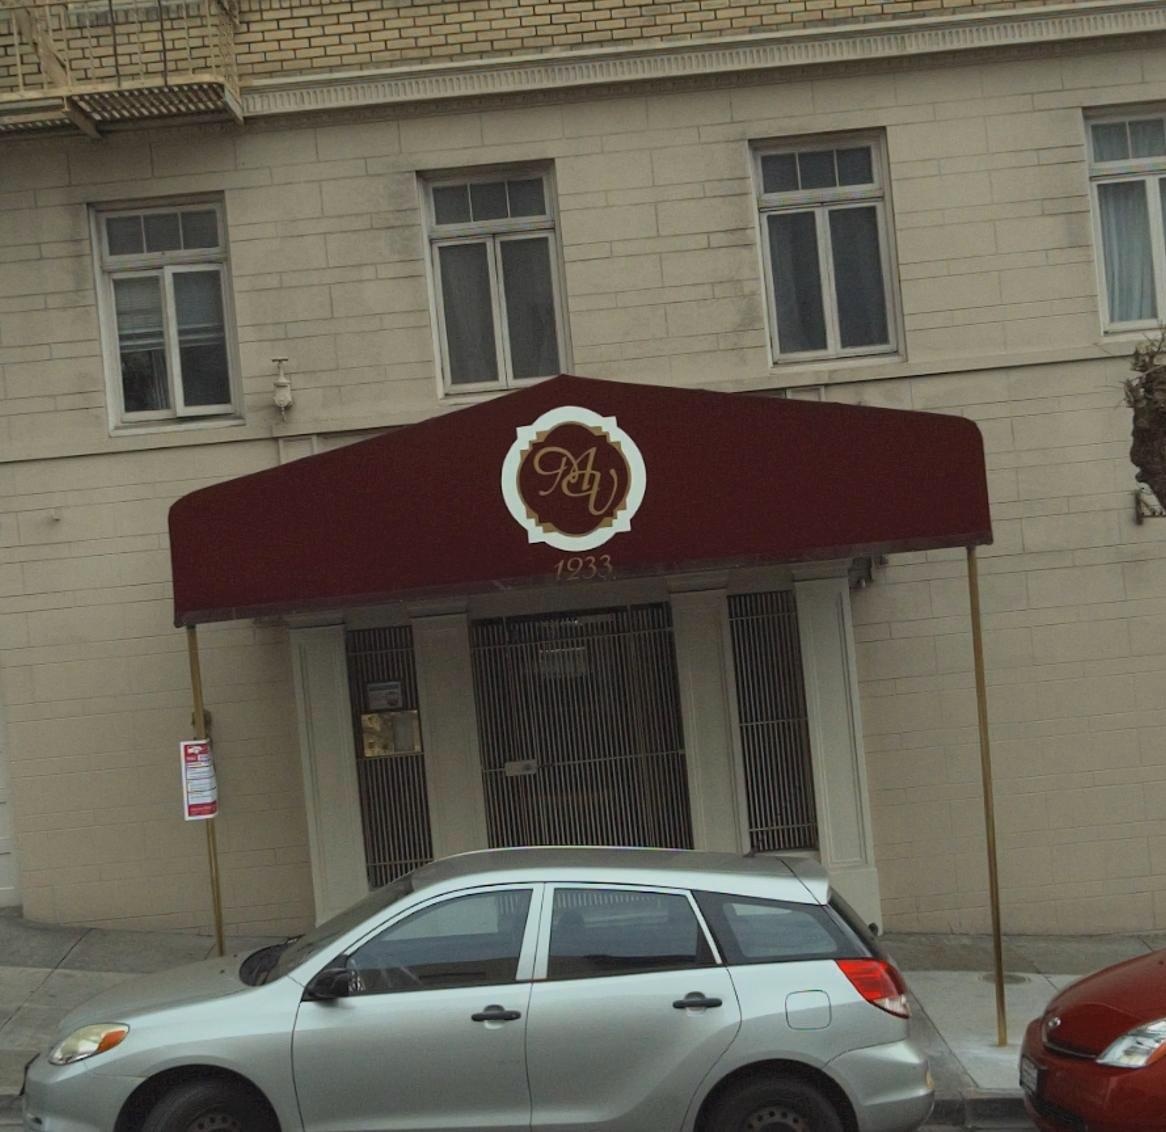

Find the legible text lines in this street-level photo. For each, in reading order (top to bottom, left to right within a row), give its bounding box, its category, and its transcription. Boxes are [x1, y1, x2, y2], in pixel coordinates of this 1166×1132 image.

[551, 552, 615, 584] StreetNumber: 1233